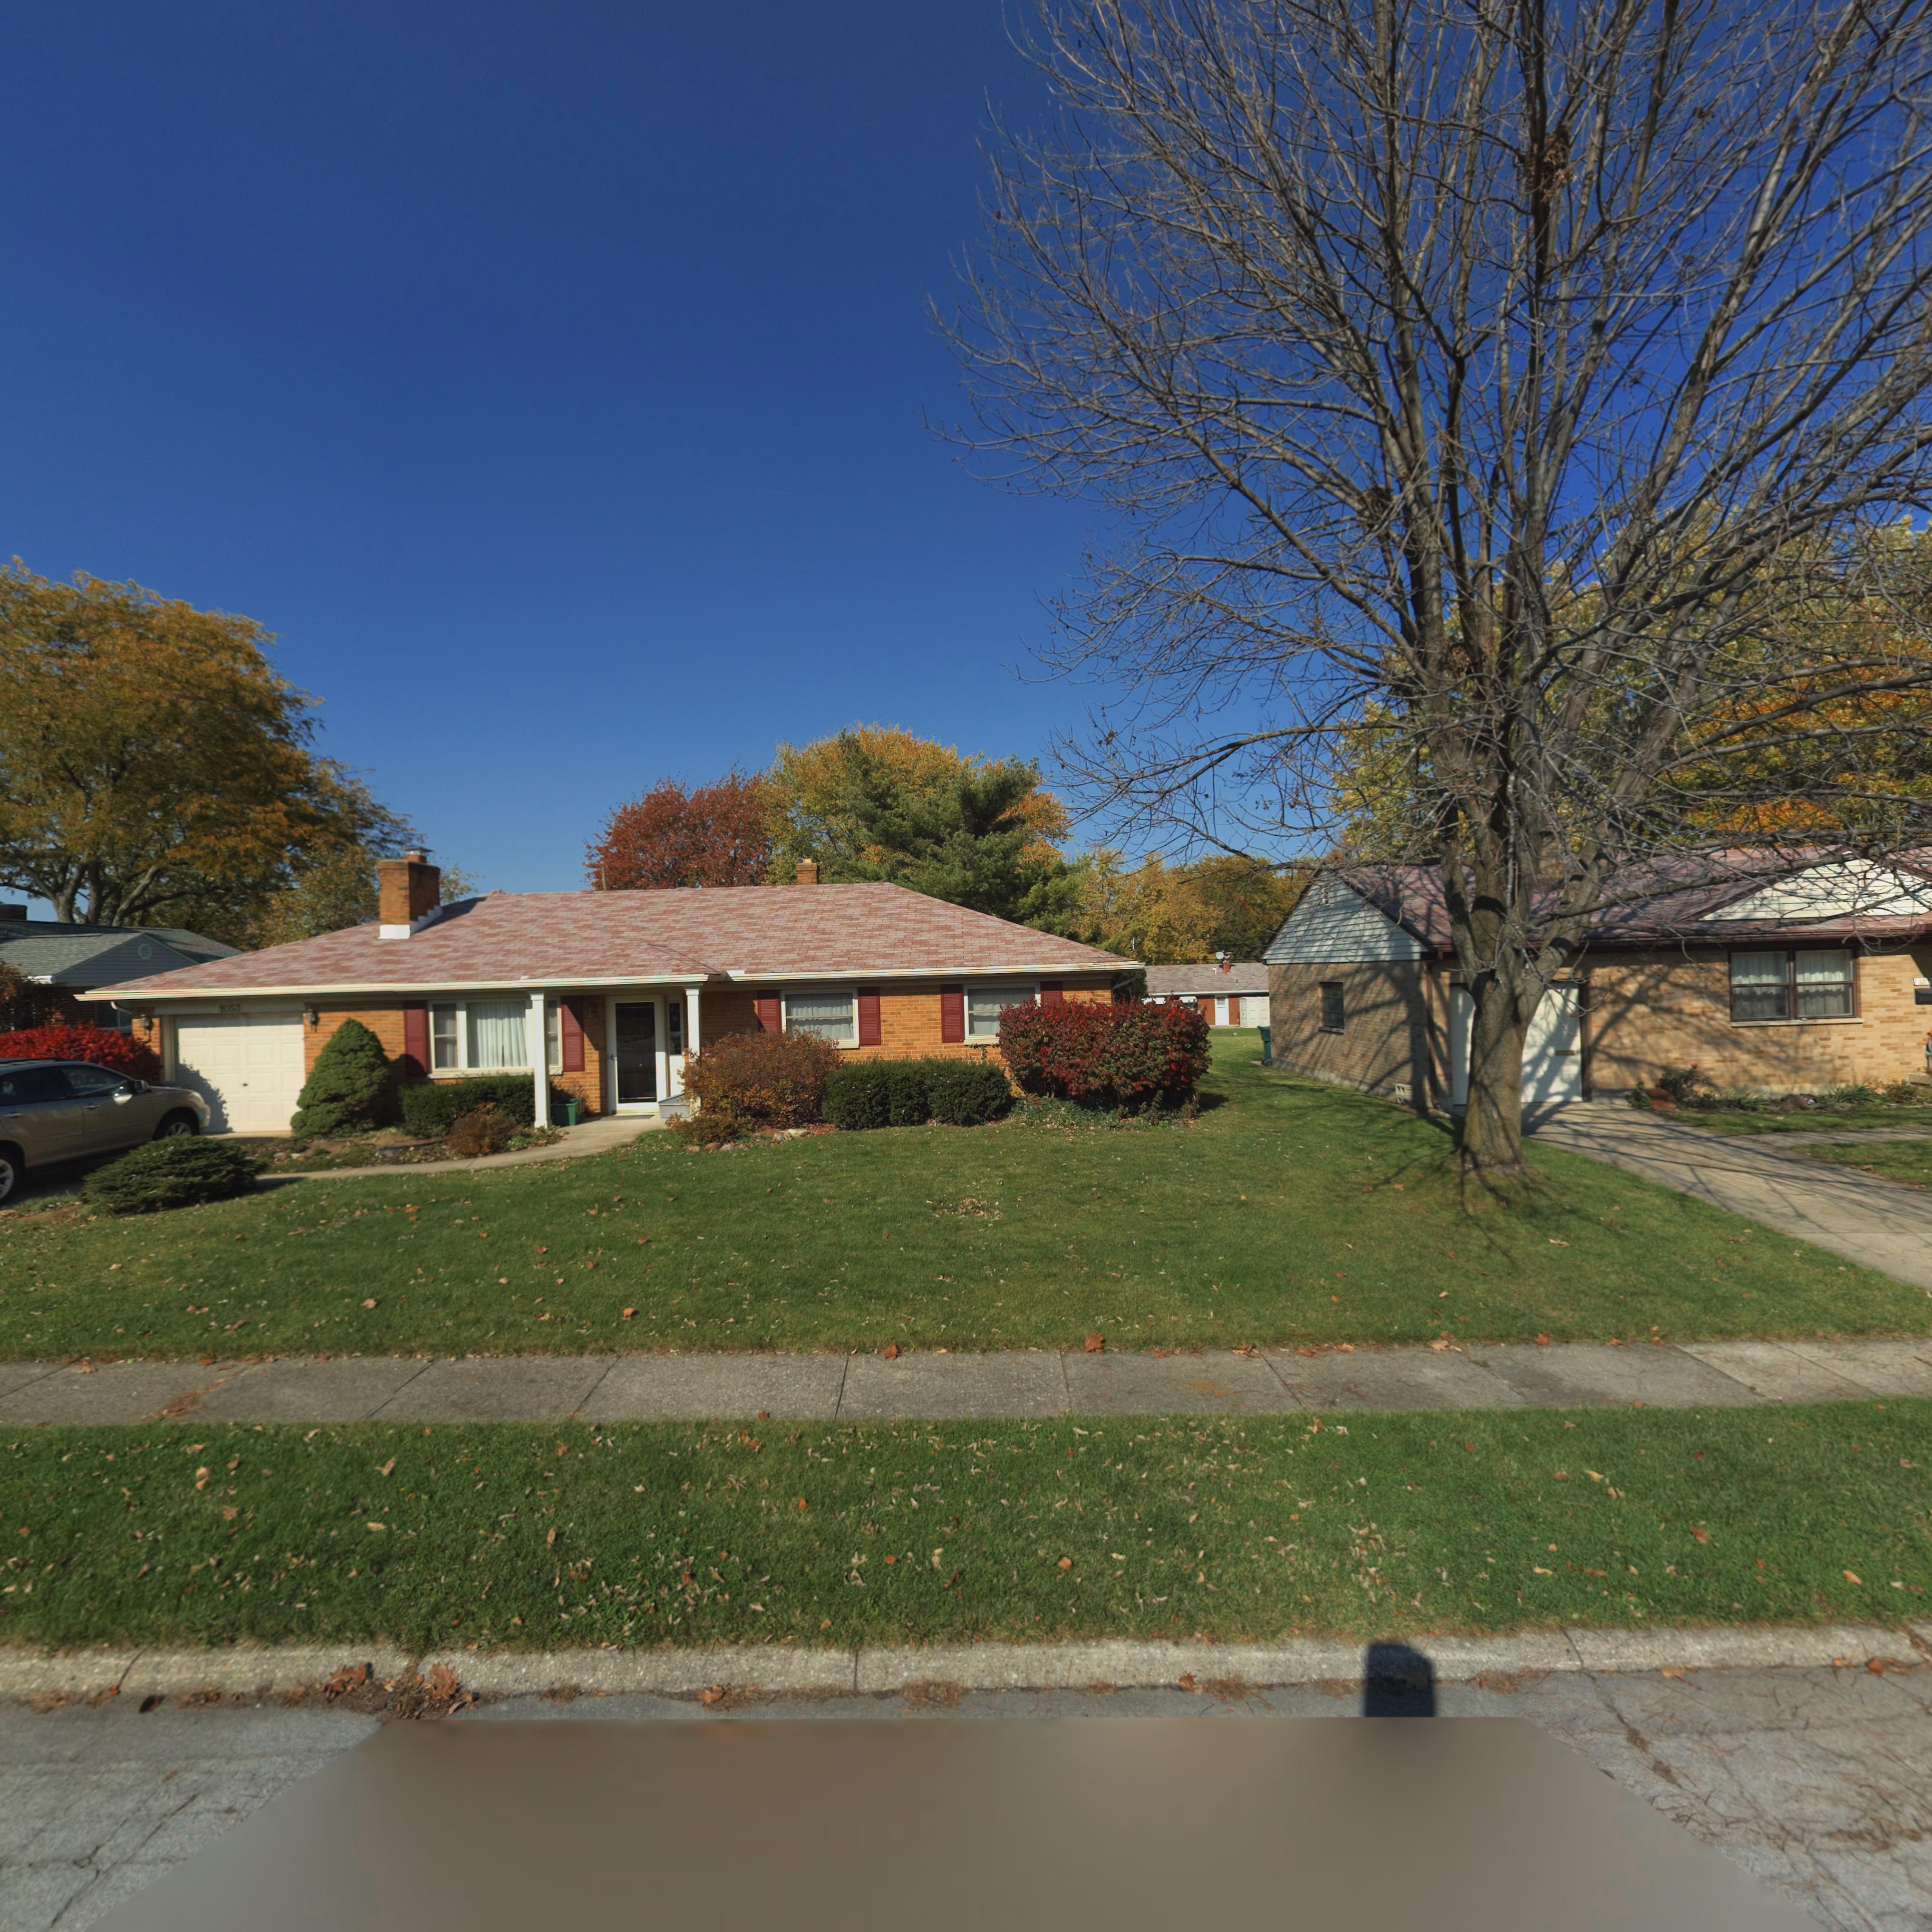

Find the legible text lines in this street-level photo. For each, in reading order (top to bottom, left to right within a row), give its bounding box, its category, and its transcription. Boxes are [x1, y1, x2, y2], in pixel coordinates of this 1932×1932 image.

[1919, 978, 1931, 985] StreetNumber: 105
[219, 1003, 241, 1013] StreetNumber: 1053